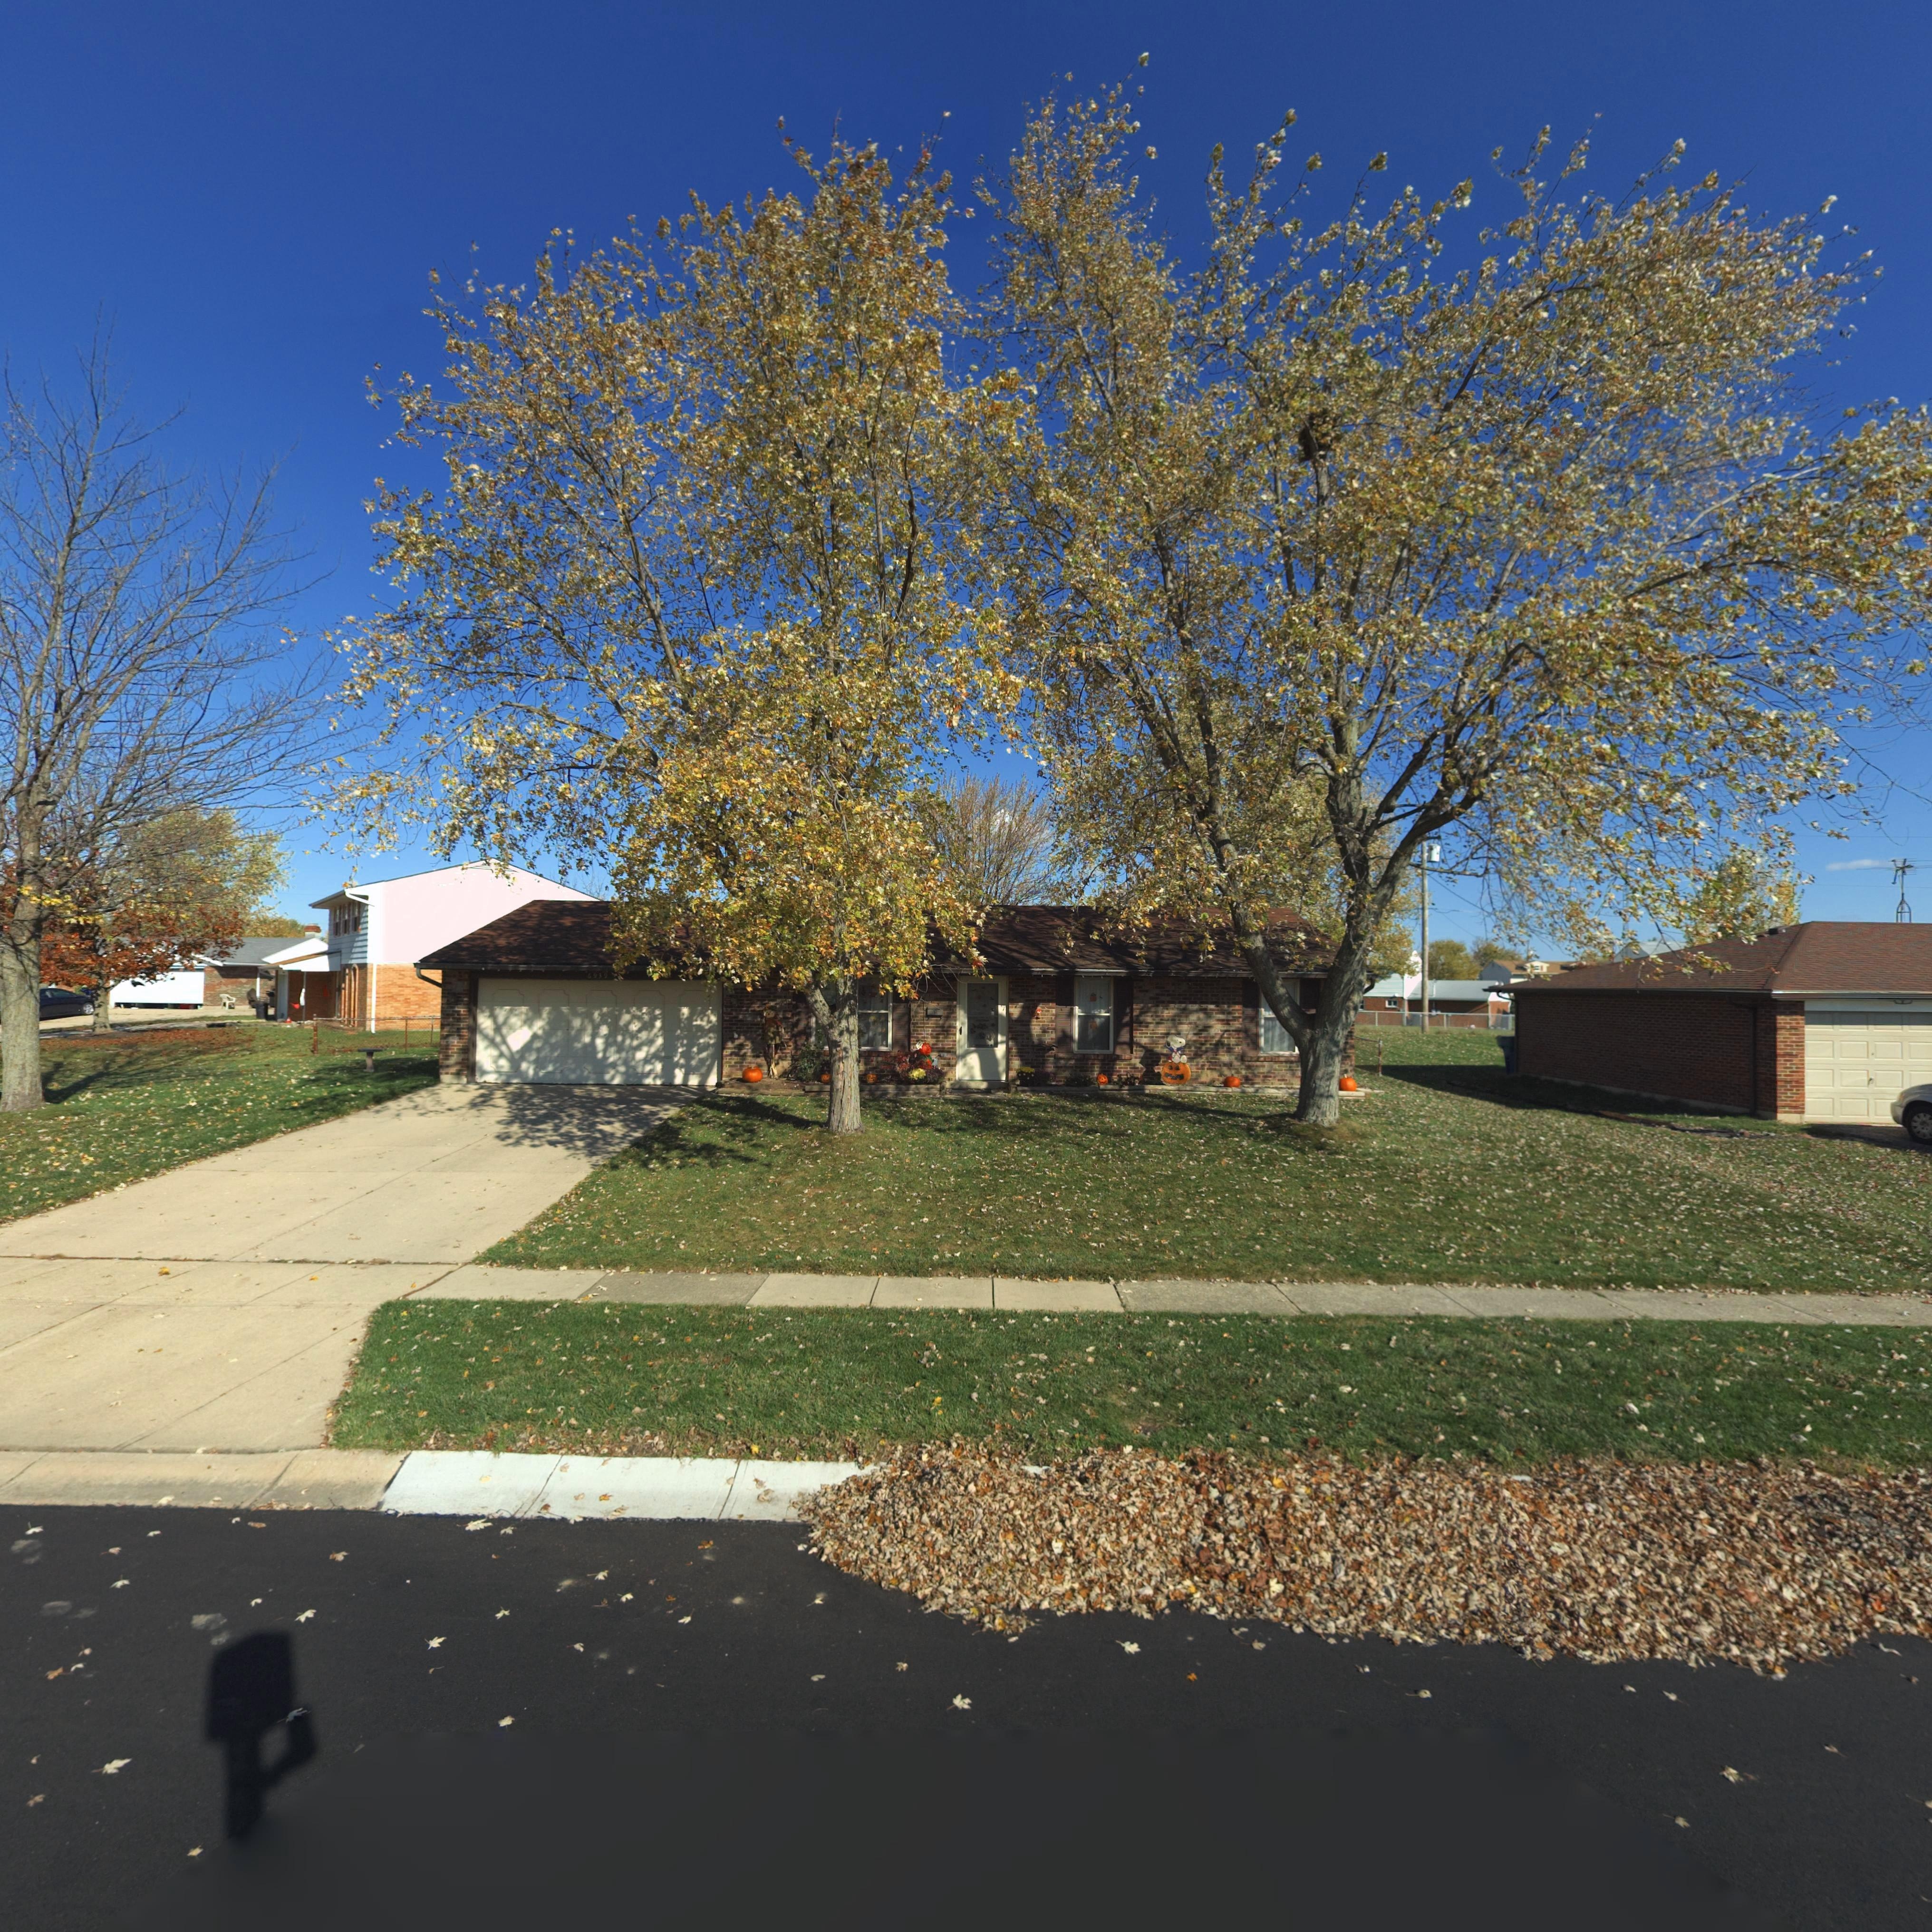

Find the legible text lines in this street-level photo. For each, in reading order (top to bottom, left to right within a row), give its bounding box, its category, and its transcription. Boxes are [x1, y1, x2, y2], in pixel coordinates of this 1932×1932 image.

[587, 973, 608, 979] StreetNumber: 6939